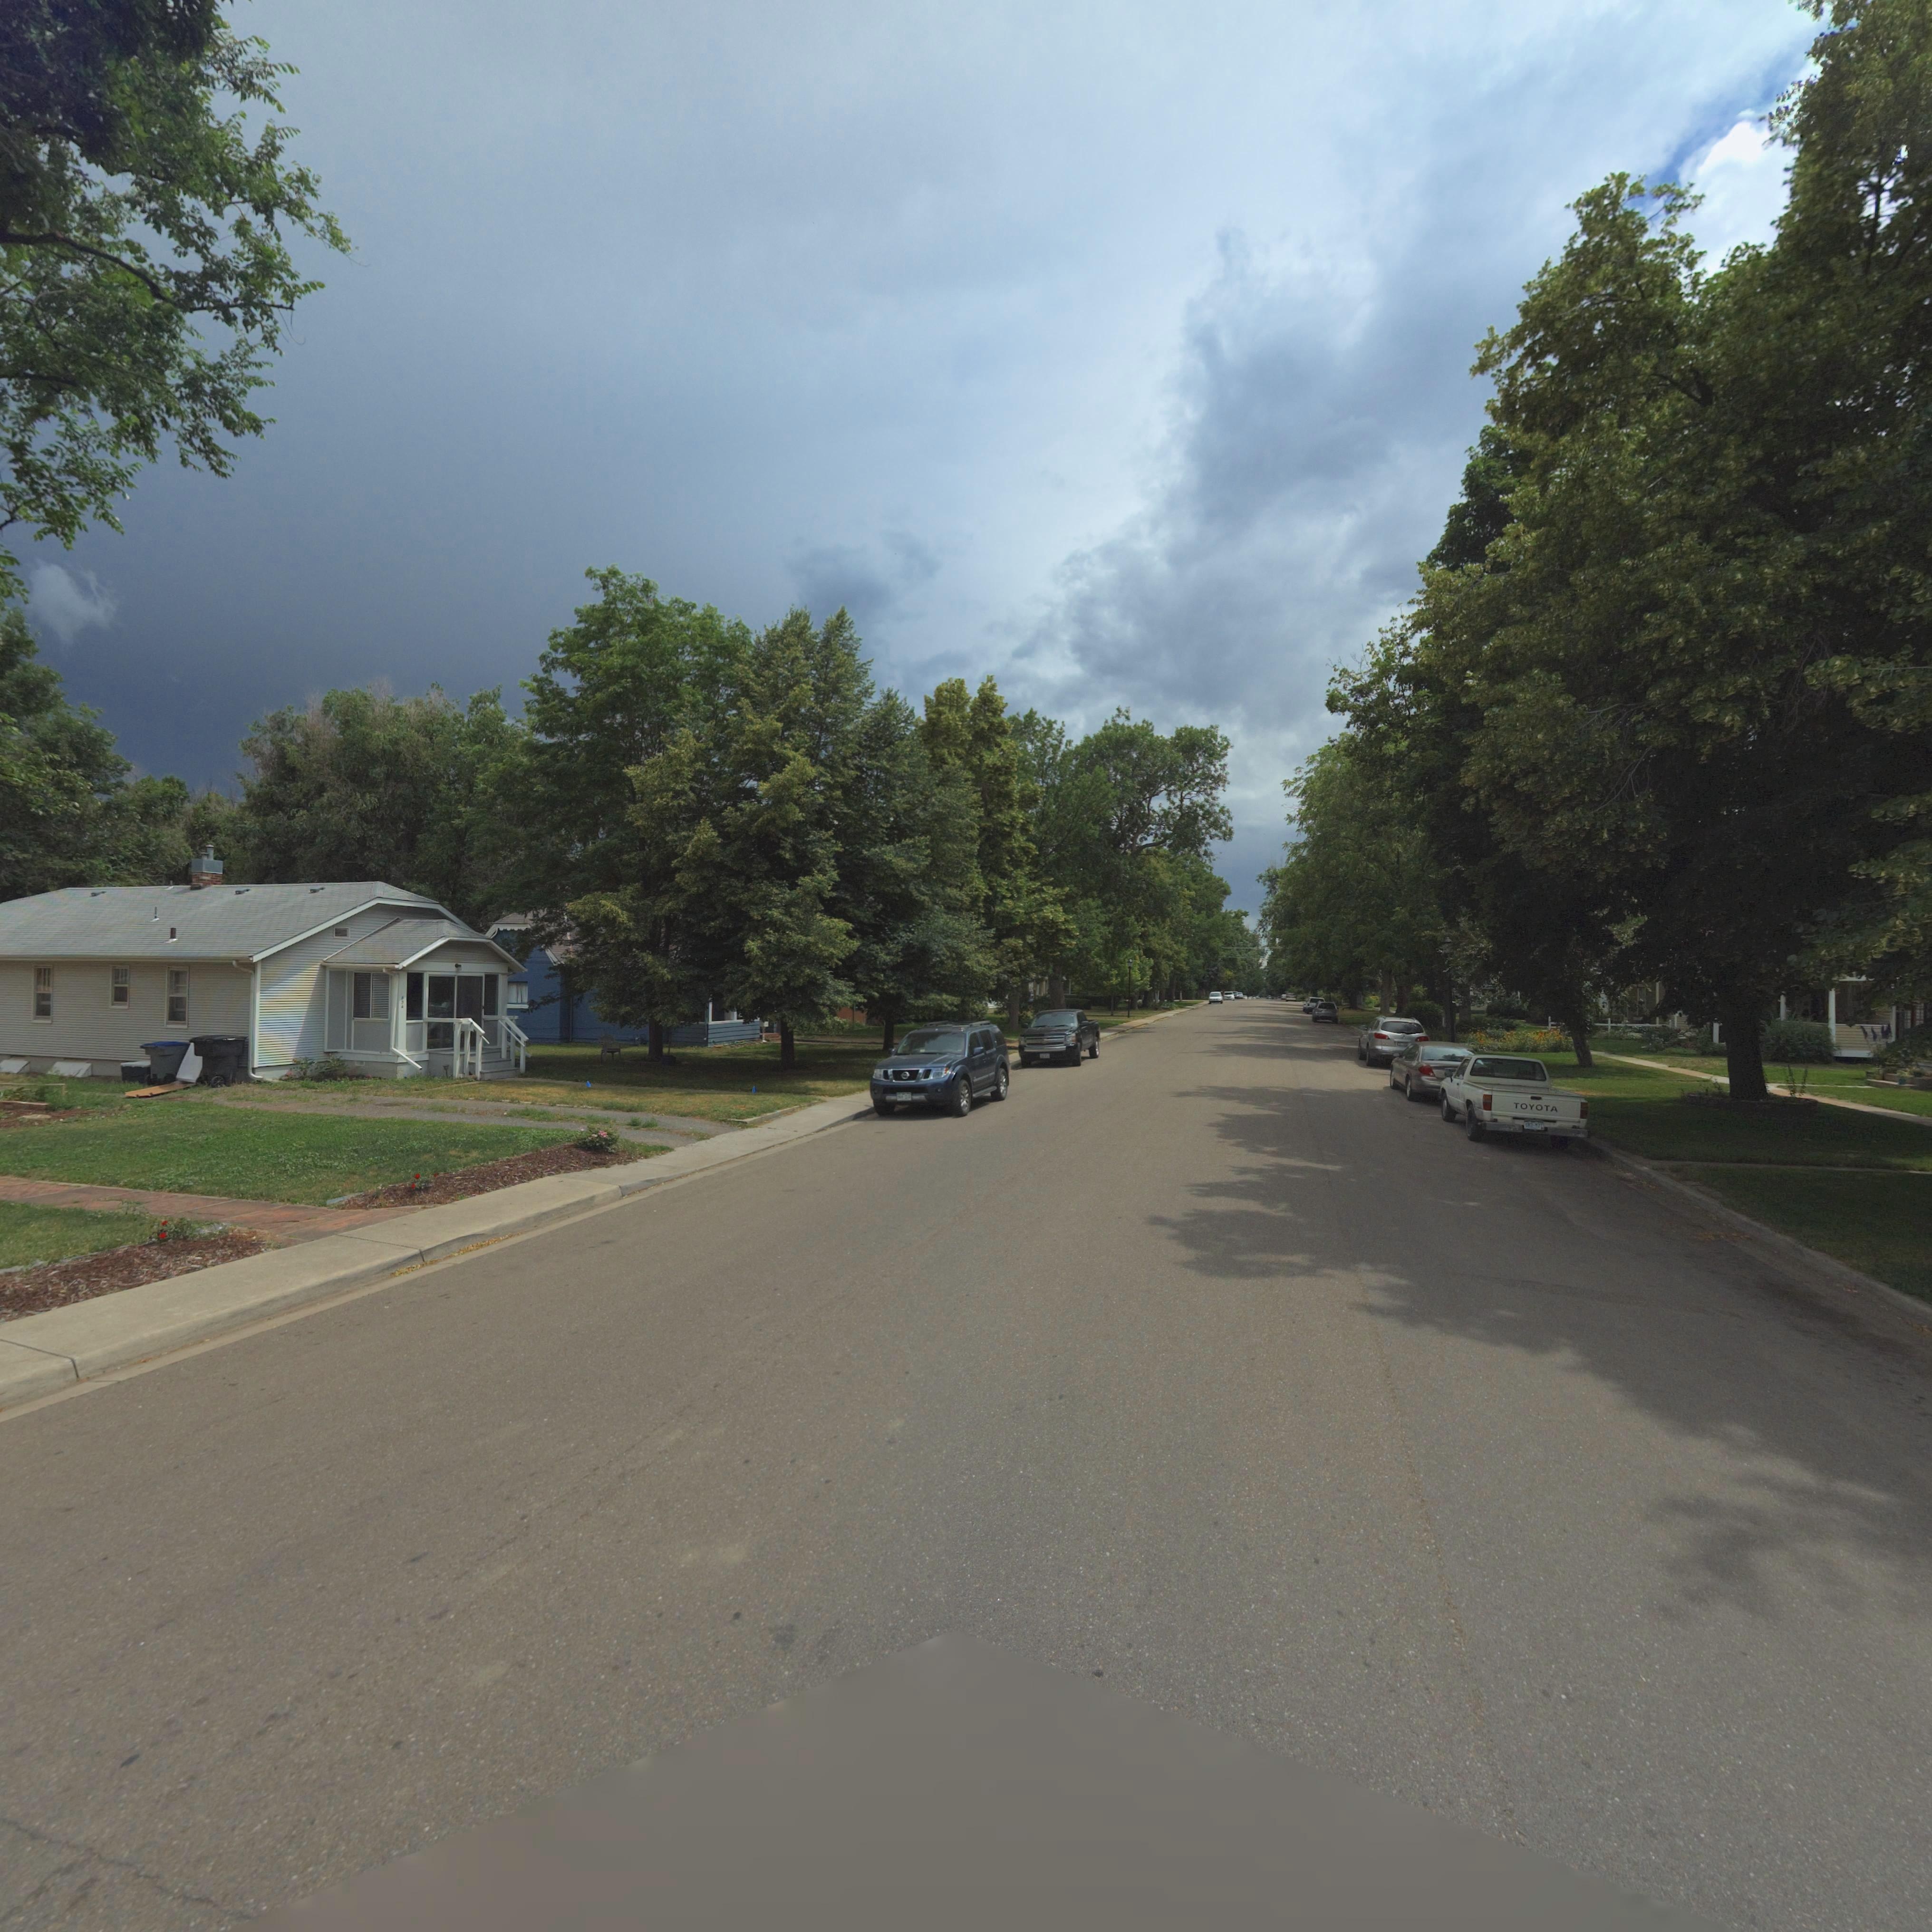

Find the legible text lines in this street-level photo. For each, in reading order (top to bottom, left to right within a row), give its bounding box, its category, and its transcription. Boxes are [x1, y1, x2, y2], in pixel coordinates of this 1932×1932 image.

[400, 995, 405, 1008] StreetNumber: 834